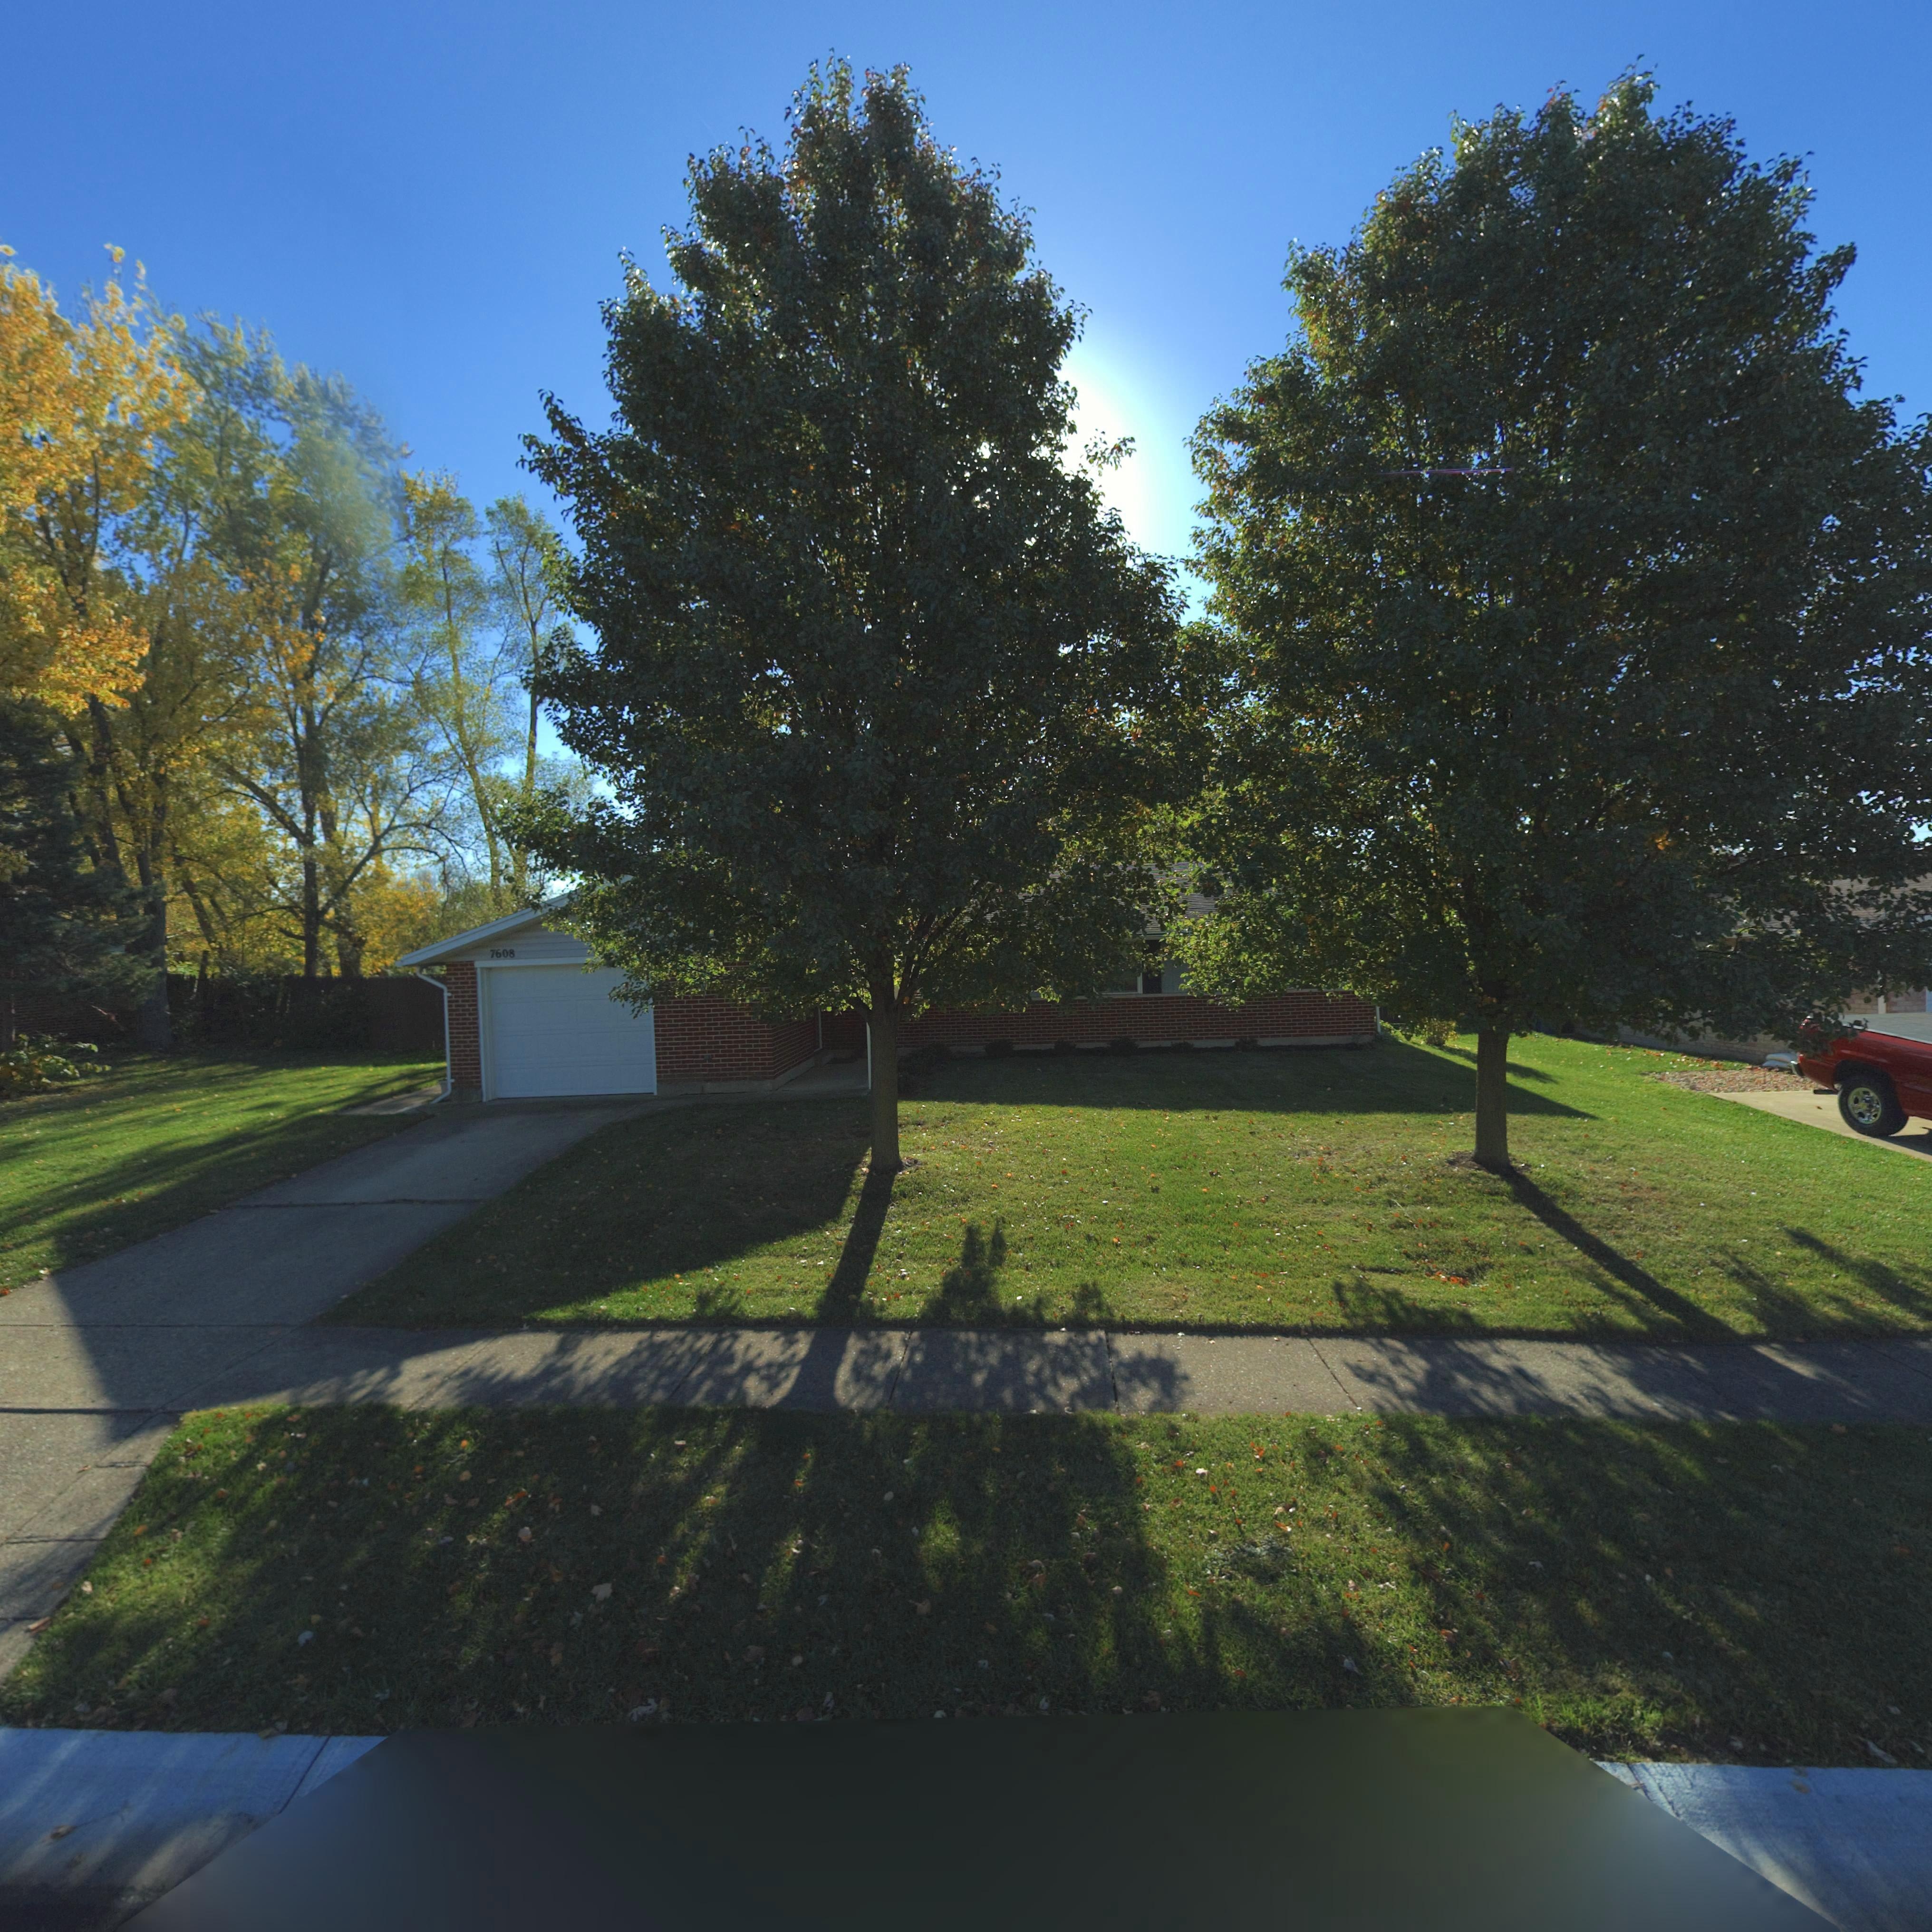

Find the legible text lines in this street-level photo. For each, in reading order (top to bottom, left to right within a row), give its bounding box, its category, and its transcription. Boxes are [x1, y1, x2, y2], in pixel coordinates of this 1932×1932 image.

[488, 947, 516, 959] StreetNumber: 7608